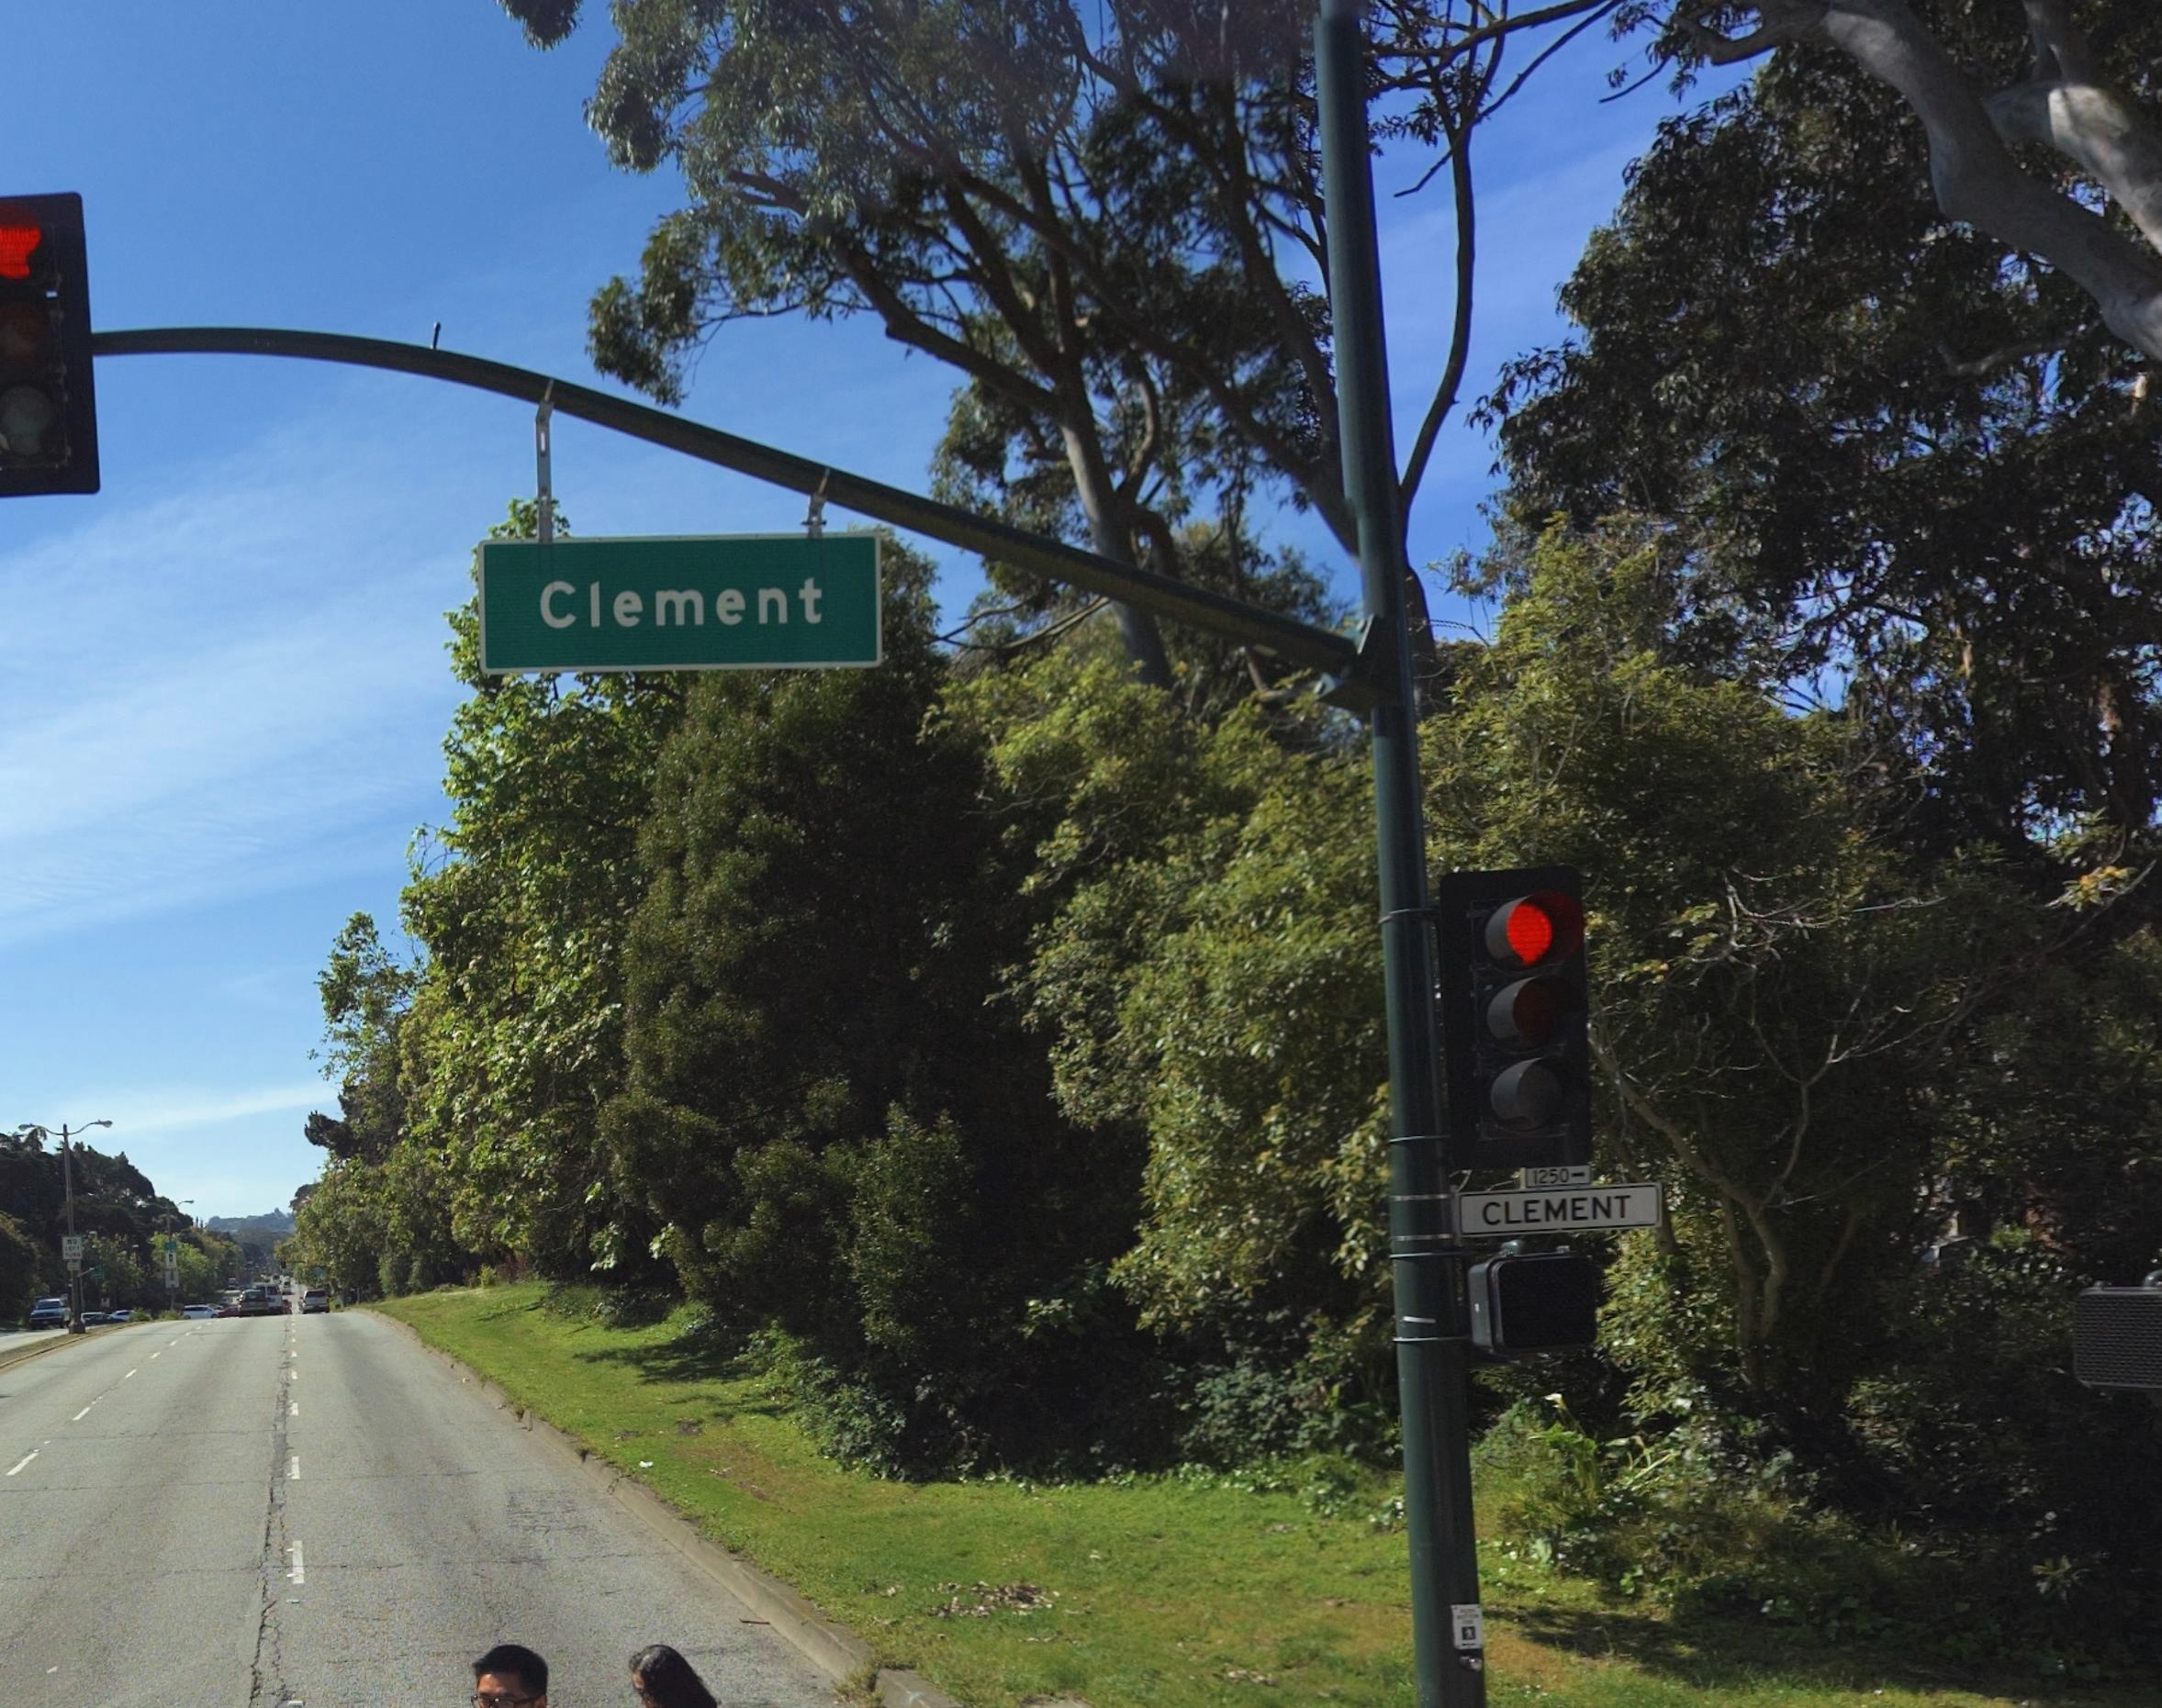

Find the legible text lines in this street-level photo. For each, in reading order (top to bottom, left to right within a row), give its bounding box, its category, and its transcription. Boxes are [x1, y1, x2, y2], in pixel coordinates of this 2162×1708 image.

[535, 571, 831, 635] StreetName: Clement
[1529, 1164, 1590, 1187] StreetNumberRange: 1250->
[1481, 1193, 1631, 1227] StreetName: CLEMENT
[65, 1237, 79, 1246] None: NO